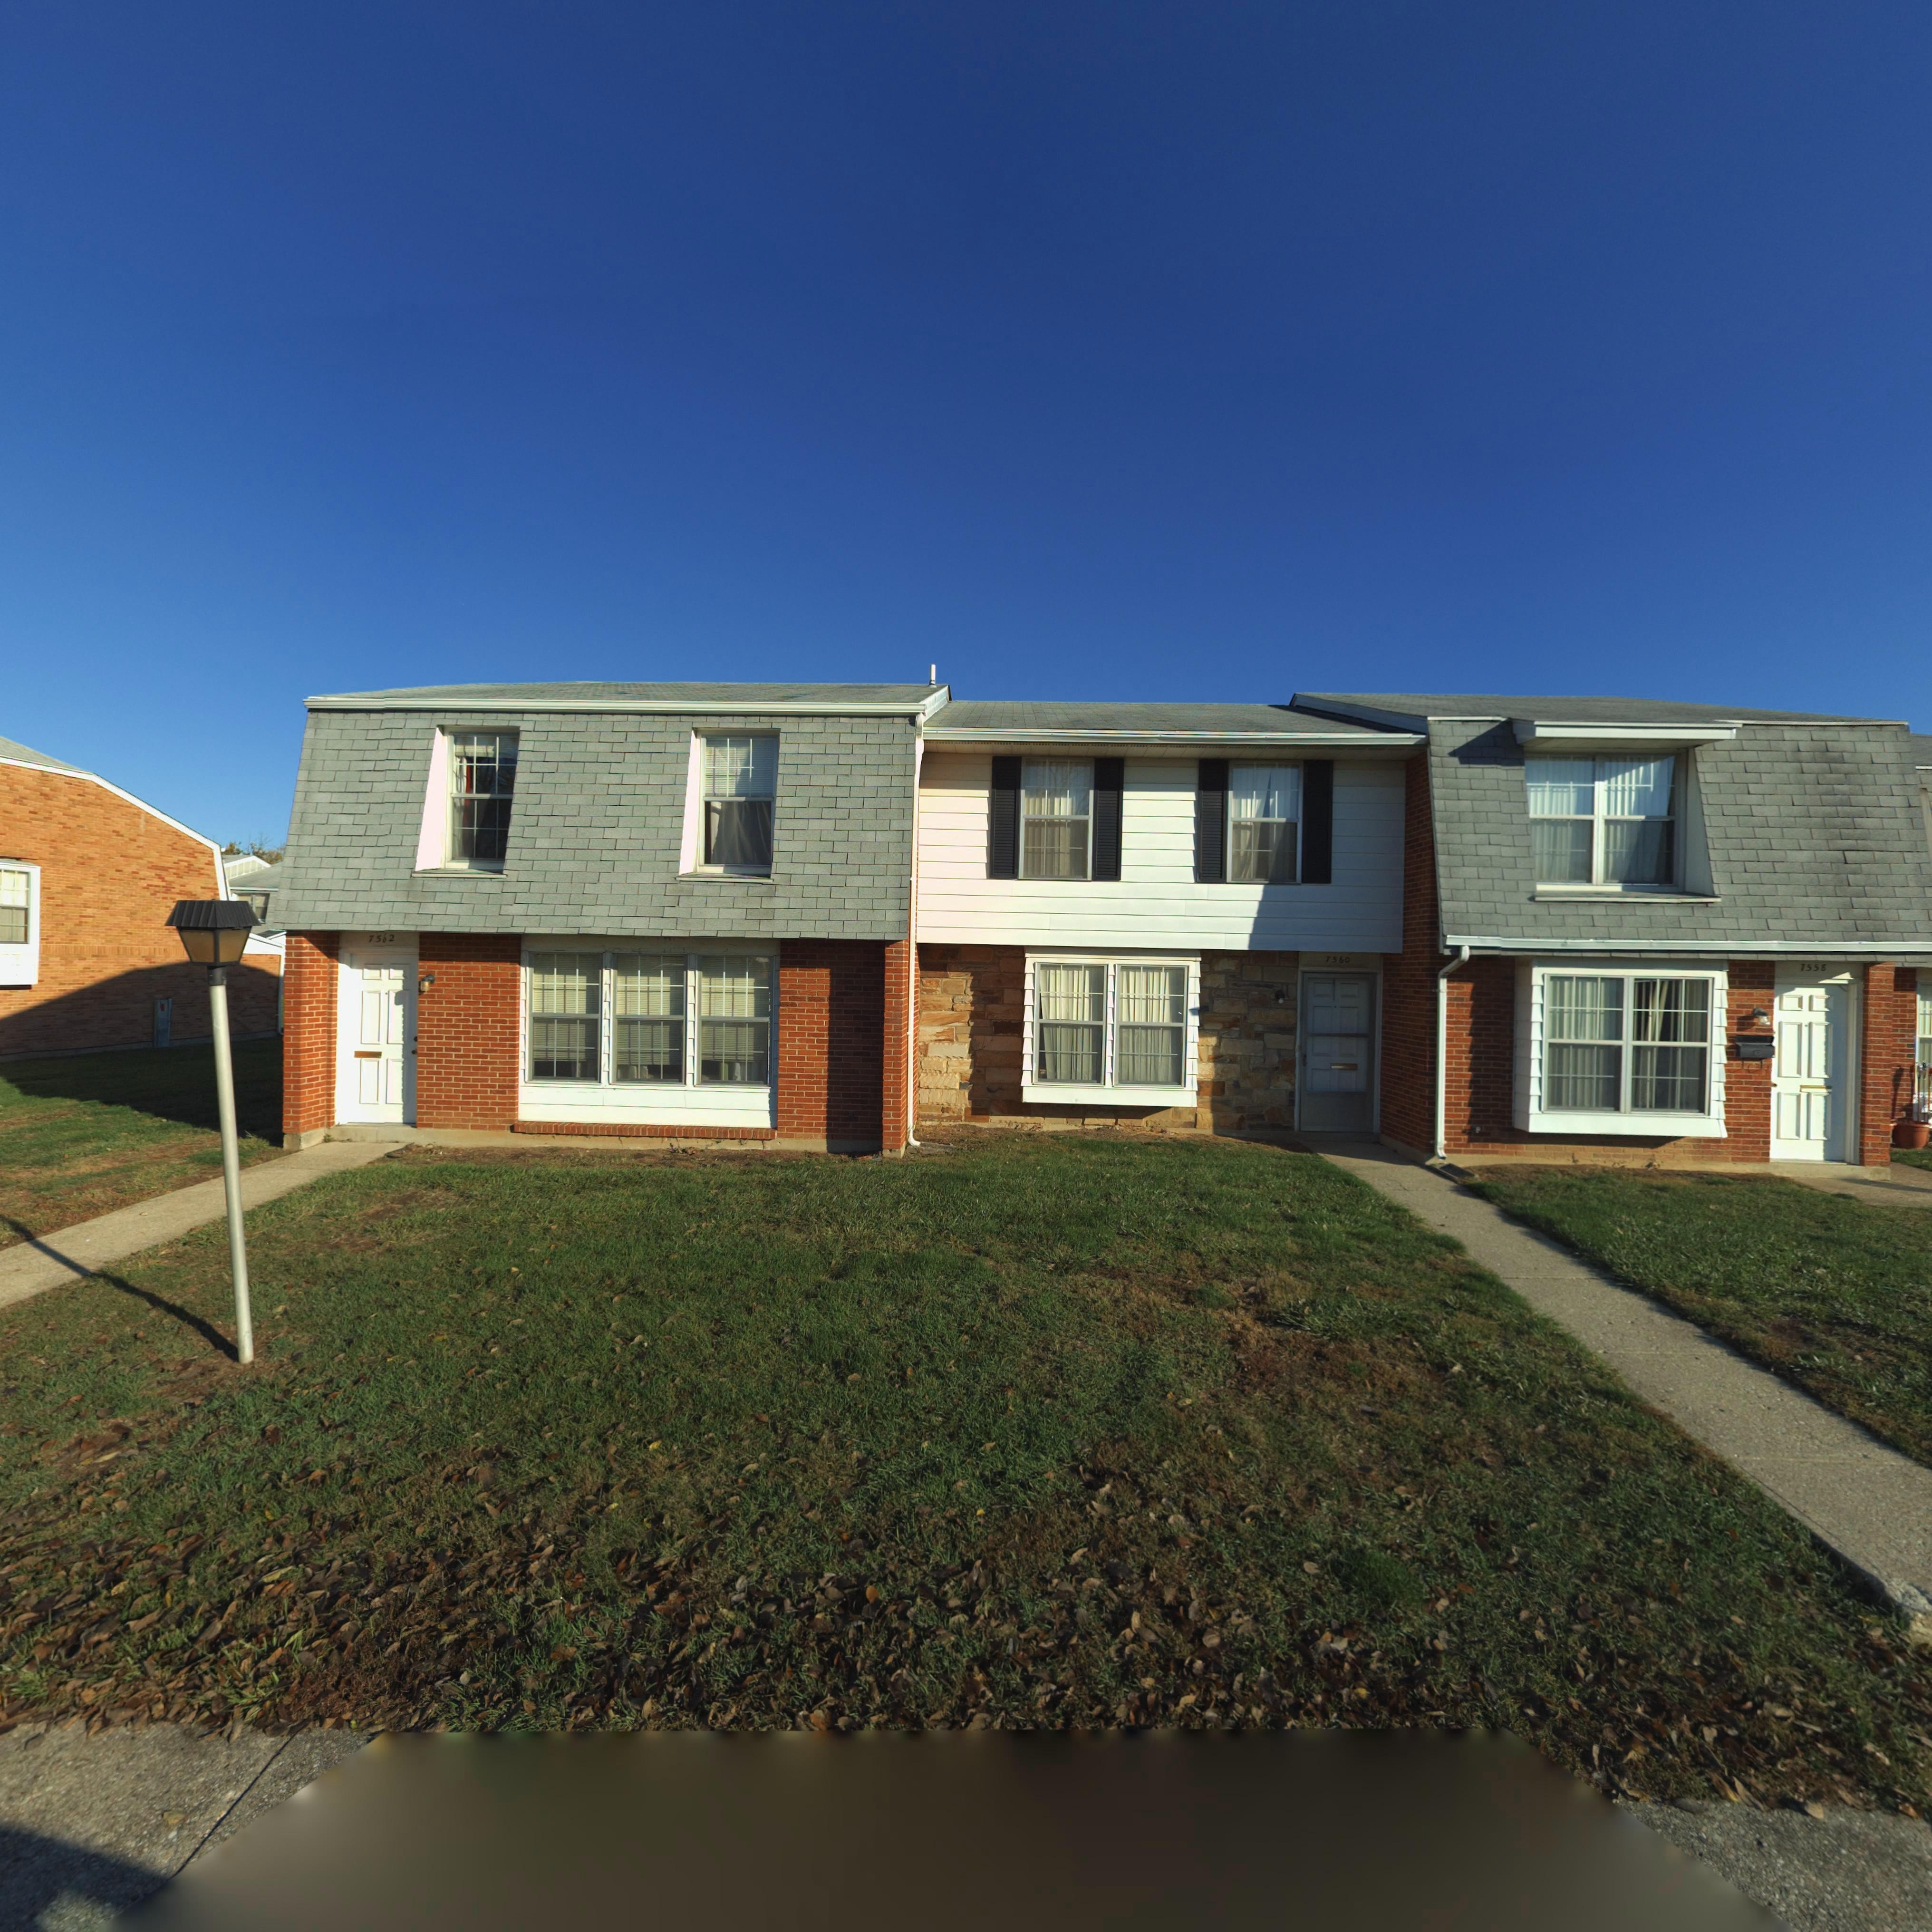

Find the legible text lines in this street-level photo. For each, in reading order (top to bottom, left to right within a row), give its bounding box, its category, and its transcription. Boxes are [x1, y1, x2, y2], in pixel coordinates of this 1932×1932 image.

[367, 932, 396, 946] StreetNumber: 75*2
[1325, 955, 1351, 964] StreetNumber: 7560
[1799, 963, 1827, 973] StreetNumber: 7558